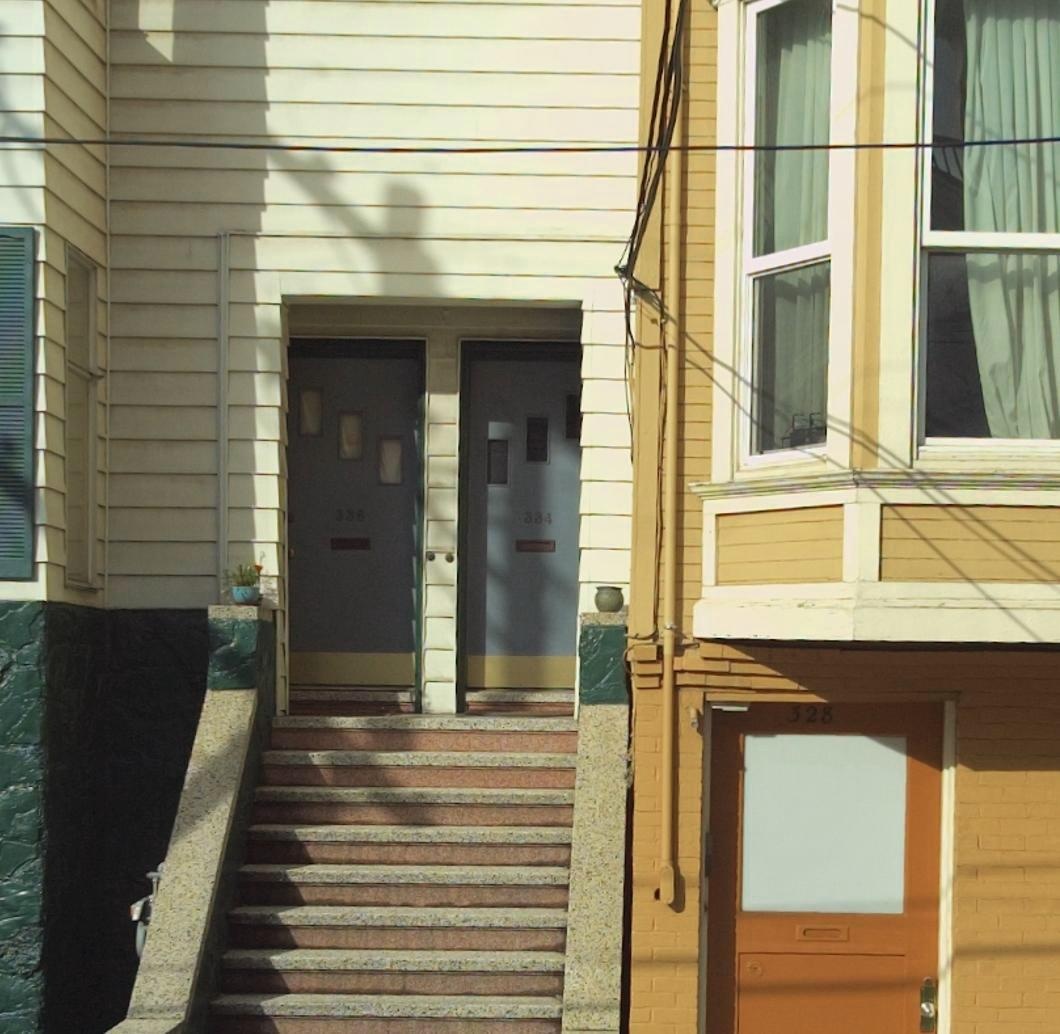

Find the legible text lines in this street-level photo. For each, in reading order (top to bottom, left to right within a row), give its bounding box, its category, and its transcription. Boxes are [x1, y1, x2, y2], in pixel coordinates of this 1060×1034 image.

[333, 507, 365, 521] StreetNumber: 385
[522, 509, 553, 526] StreetNumber: 334
[782, 705, 837, 725] StreetNumber: 328